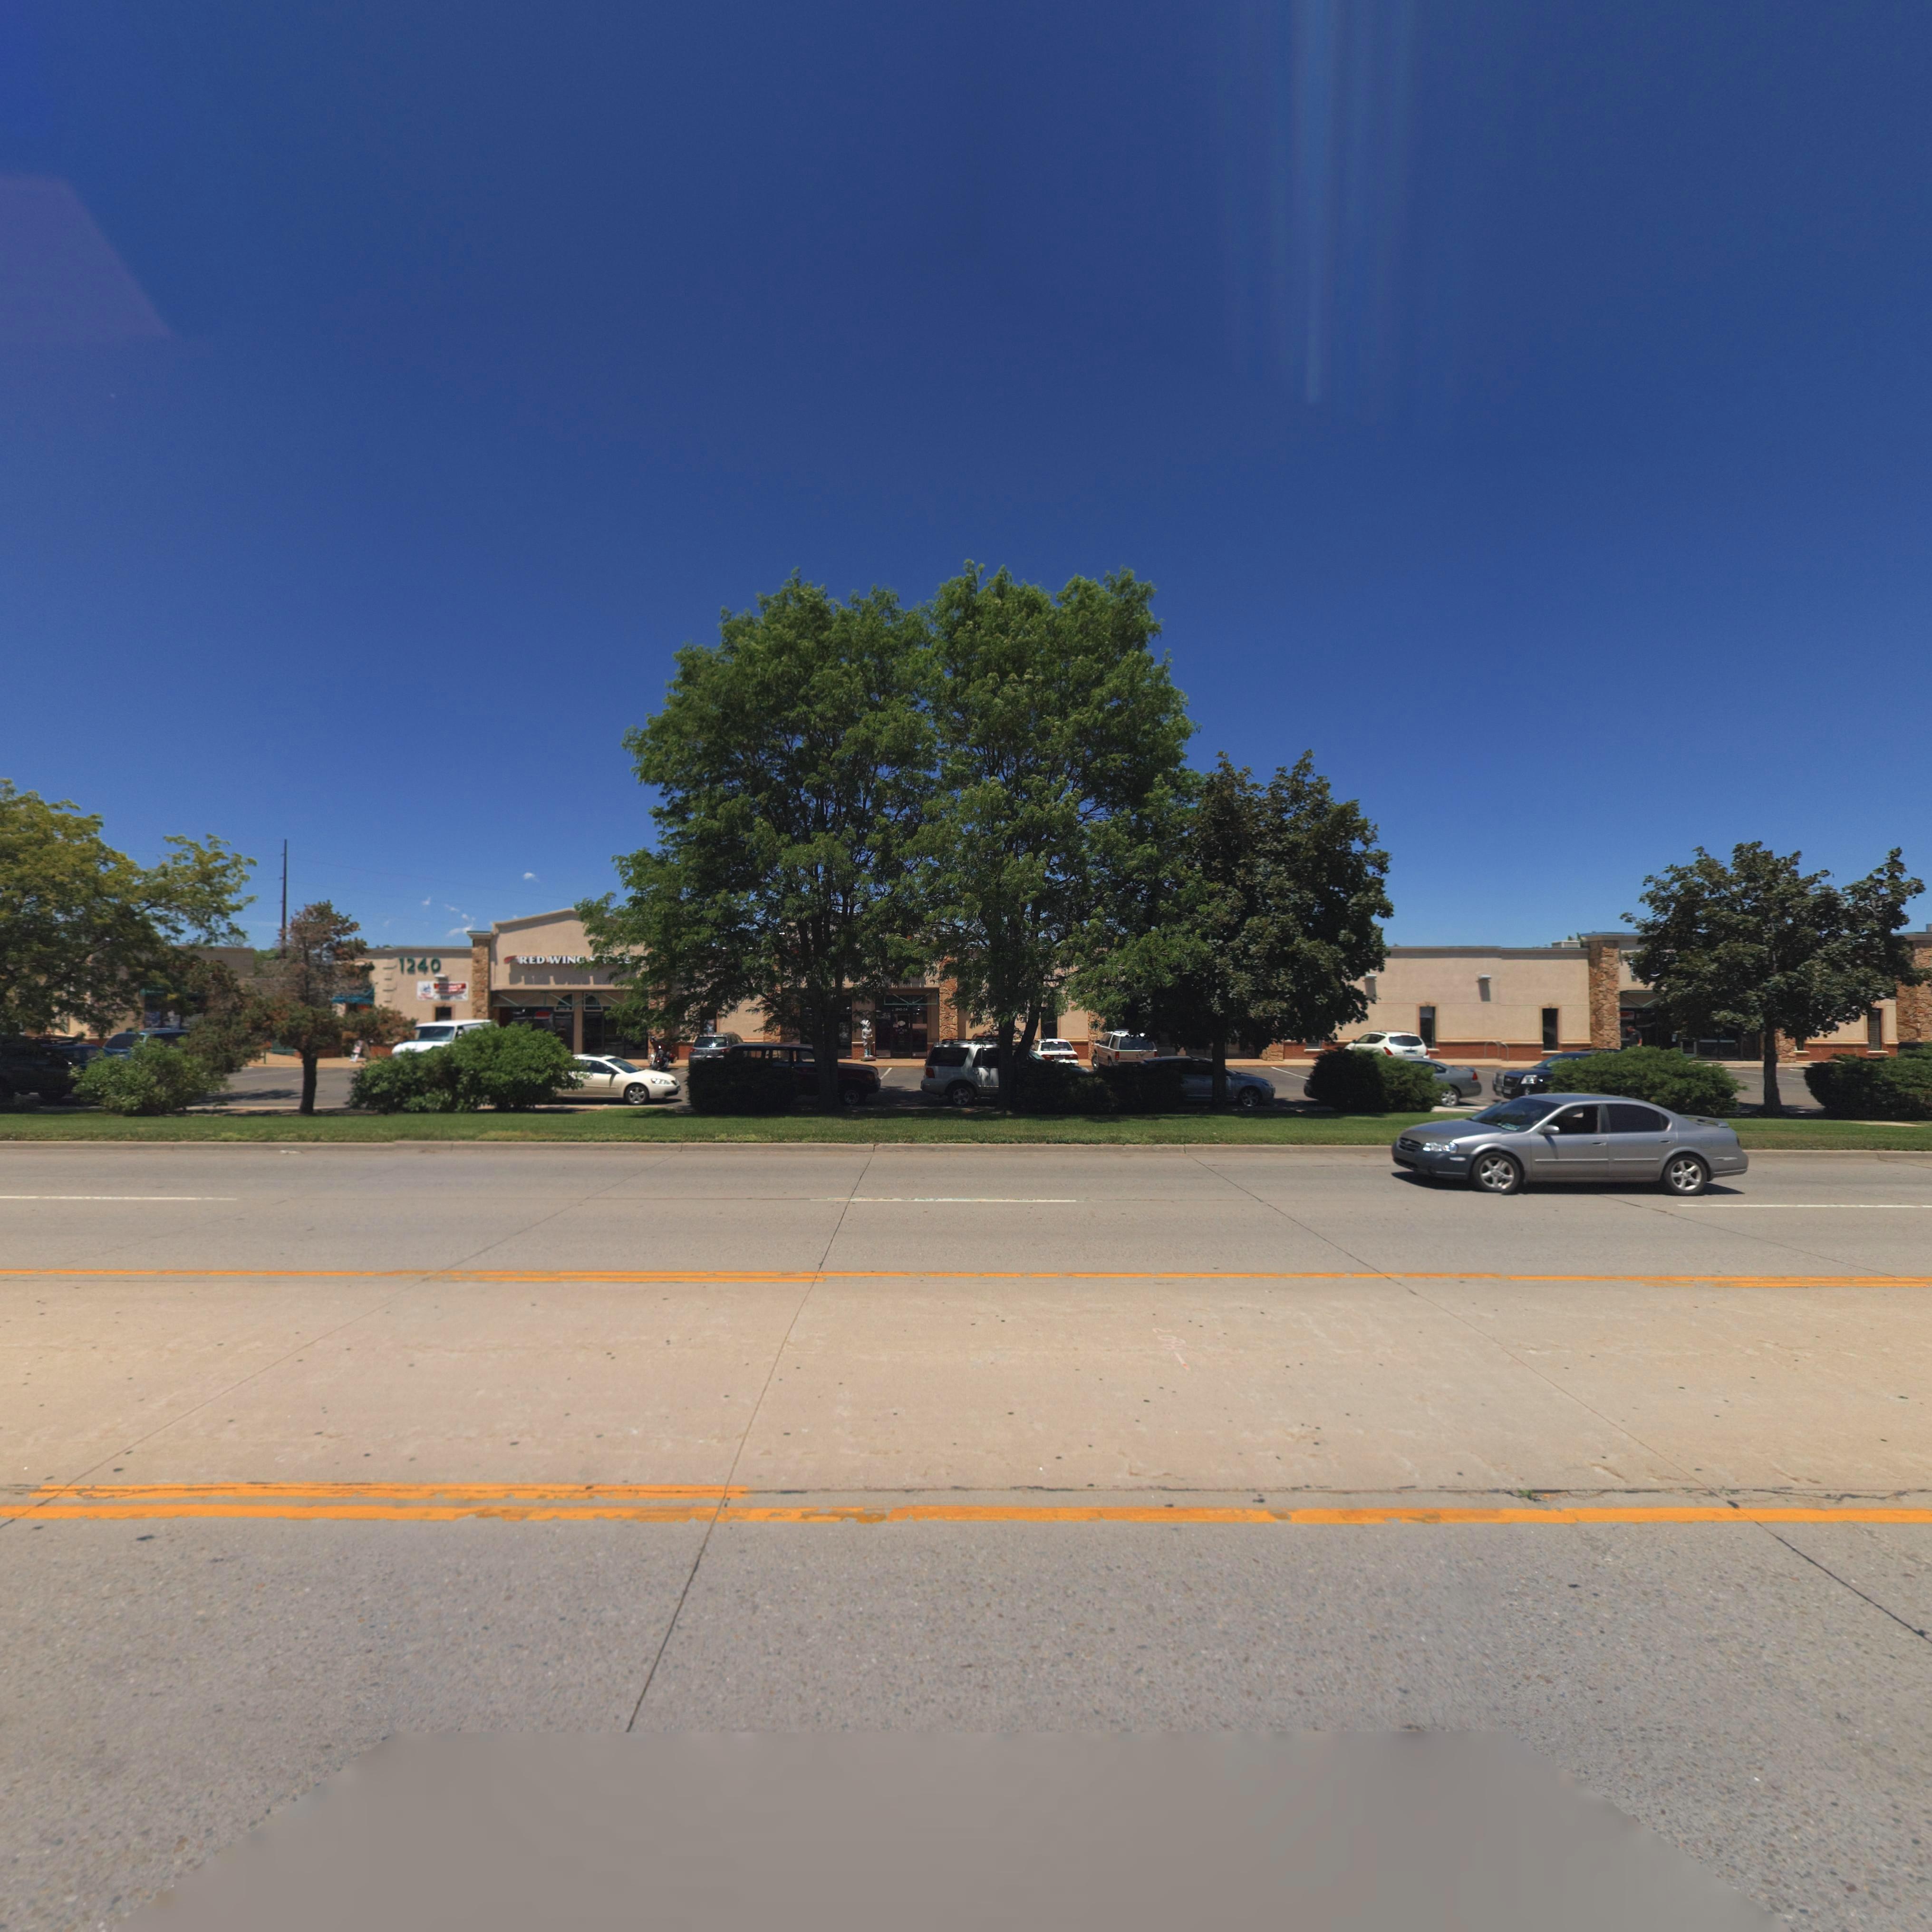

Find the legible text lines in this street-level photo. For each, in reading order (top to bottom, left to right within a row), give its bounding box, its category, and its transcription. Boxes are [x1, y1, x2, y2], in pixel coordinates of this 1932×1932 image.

[397, 956, 443, 973] StreetNumber: 1240
[518, 955, 586, 965] BusinessName: RED WING
[895, 1007, 908, 1011] StreetNumber: 1*** -*A